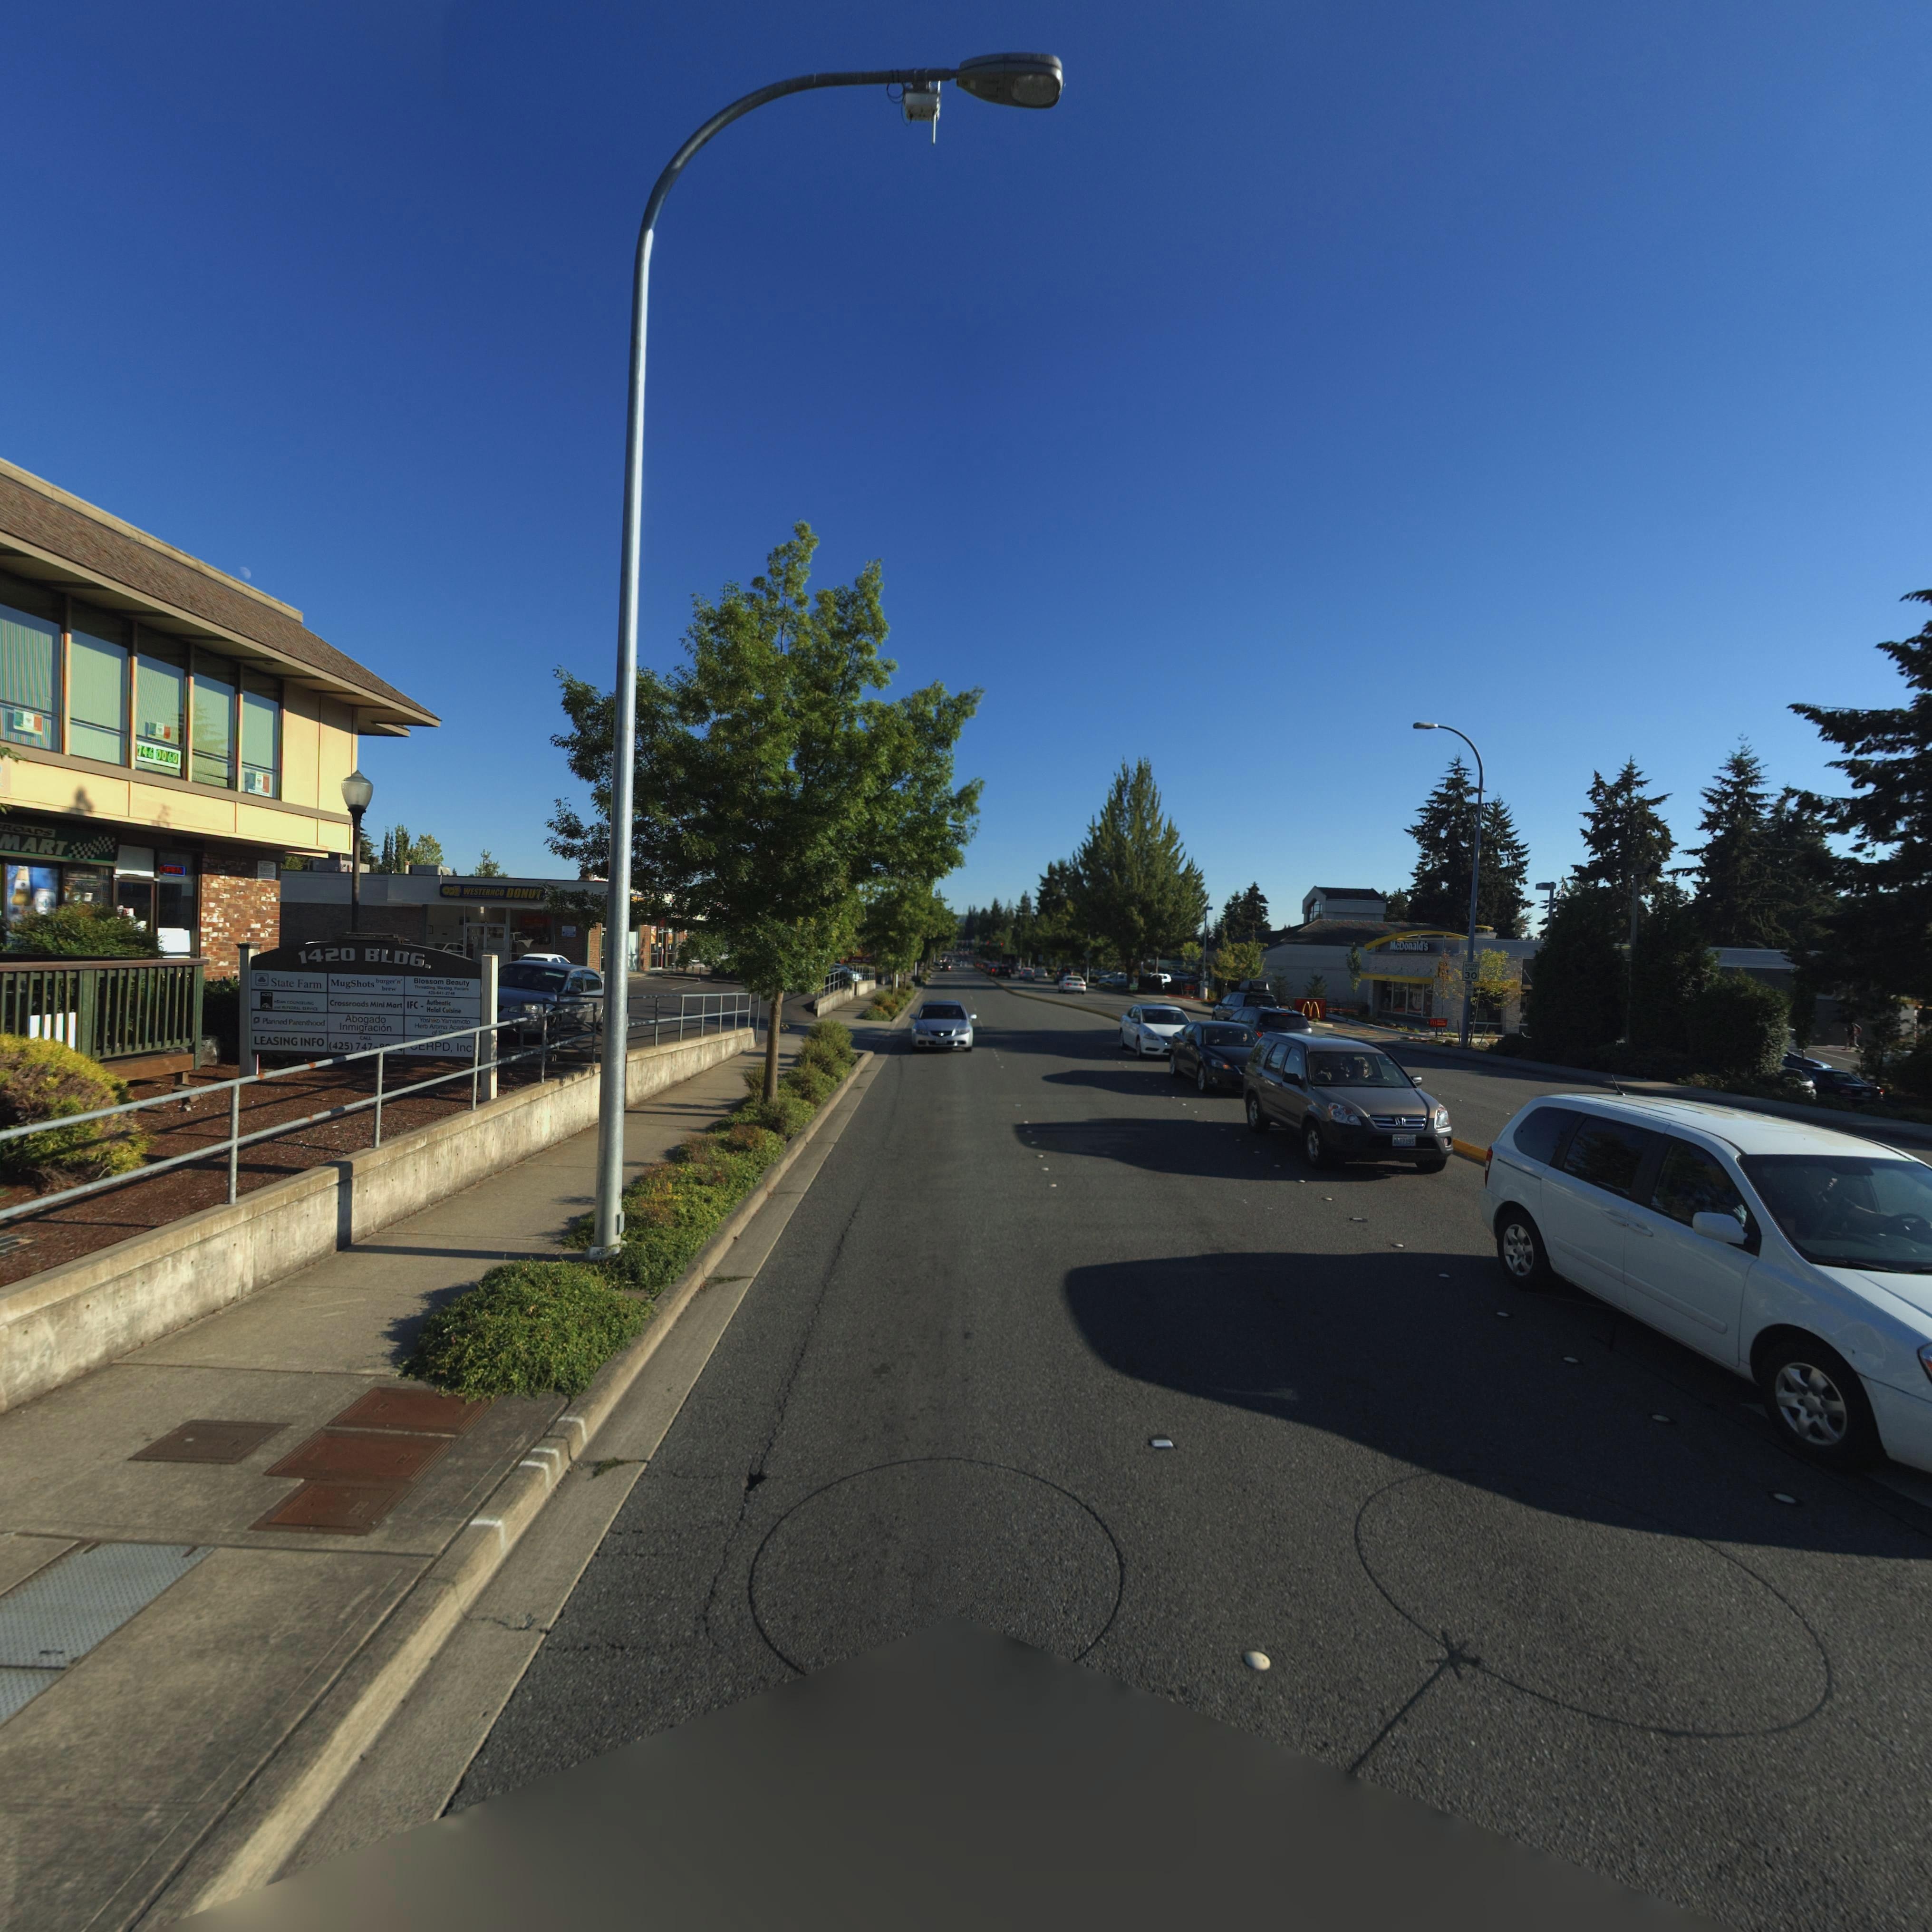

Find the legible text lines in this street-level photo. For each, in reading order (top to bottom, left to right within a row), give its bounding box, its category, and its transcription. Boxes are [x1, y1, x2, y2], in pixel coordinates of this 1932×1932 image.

[0, 833, 70, 857] BusinessName: MART
[463, 888, 504, 896] BusinessName: WESTE****
[505, 888, 544, 901] BusinessName: DONU*
[1389, 940, 1431, 953] BusinessName: McDonald*s
[296, 945, 359, 964] StreetNumber: 1420
[270, 977, 324, 989] BusinessName: State Farm
[330, 978, 376, 989] BusinessName: MugShots
[413, 977, 471, 987] BusinessName: Blossom Beauty
[329, 998, 403, 1009] BusinessName: Crossroads Mini Mart